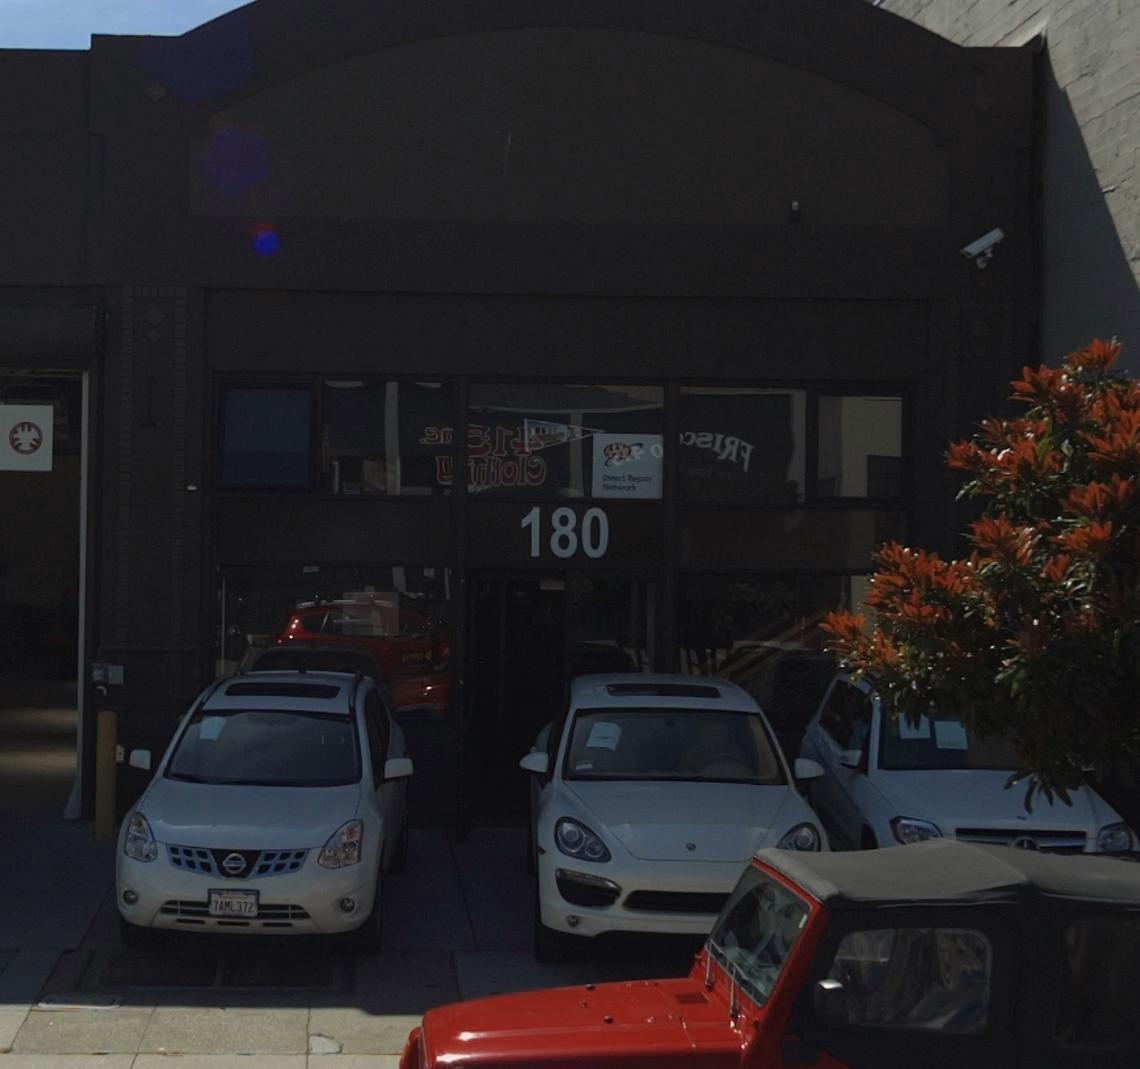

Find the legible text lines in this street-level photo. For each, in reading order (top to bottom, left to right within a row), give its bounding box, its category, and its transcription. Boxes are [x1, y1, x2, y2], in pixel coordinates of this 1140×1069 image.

[472, 451, 550, 490] None: **o**
[680, 425, 760, 479] None: **I**
[518, 502, 614, 562] StreetNumber: 180
[211, 897, 257, 915] None: 7AML 3*2